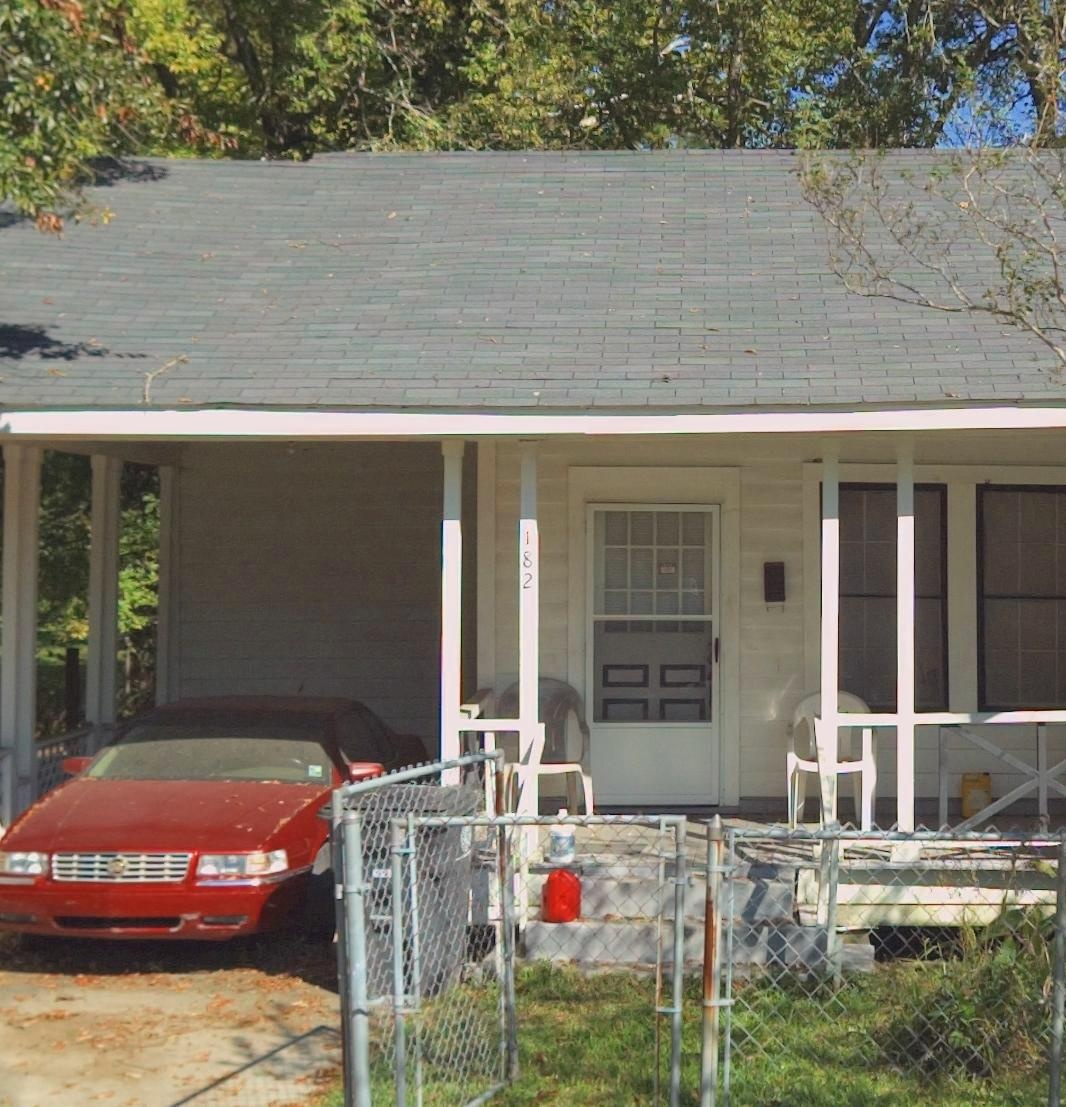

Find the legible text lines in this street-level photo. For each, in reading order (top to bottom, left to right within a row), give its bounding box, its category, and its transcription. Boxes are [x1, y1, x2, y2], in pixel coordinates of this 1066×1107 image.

[520, 529, 535, 591] StreetNumber: 182